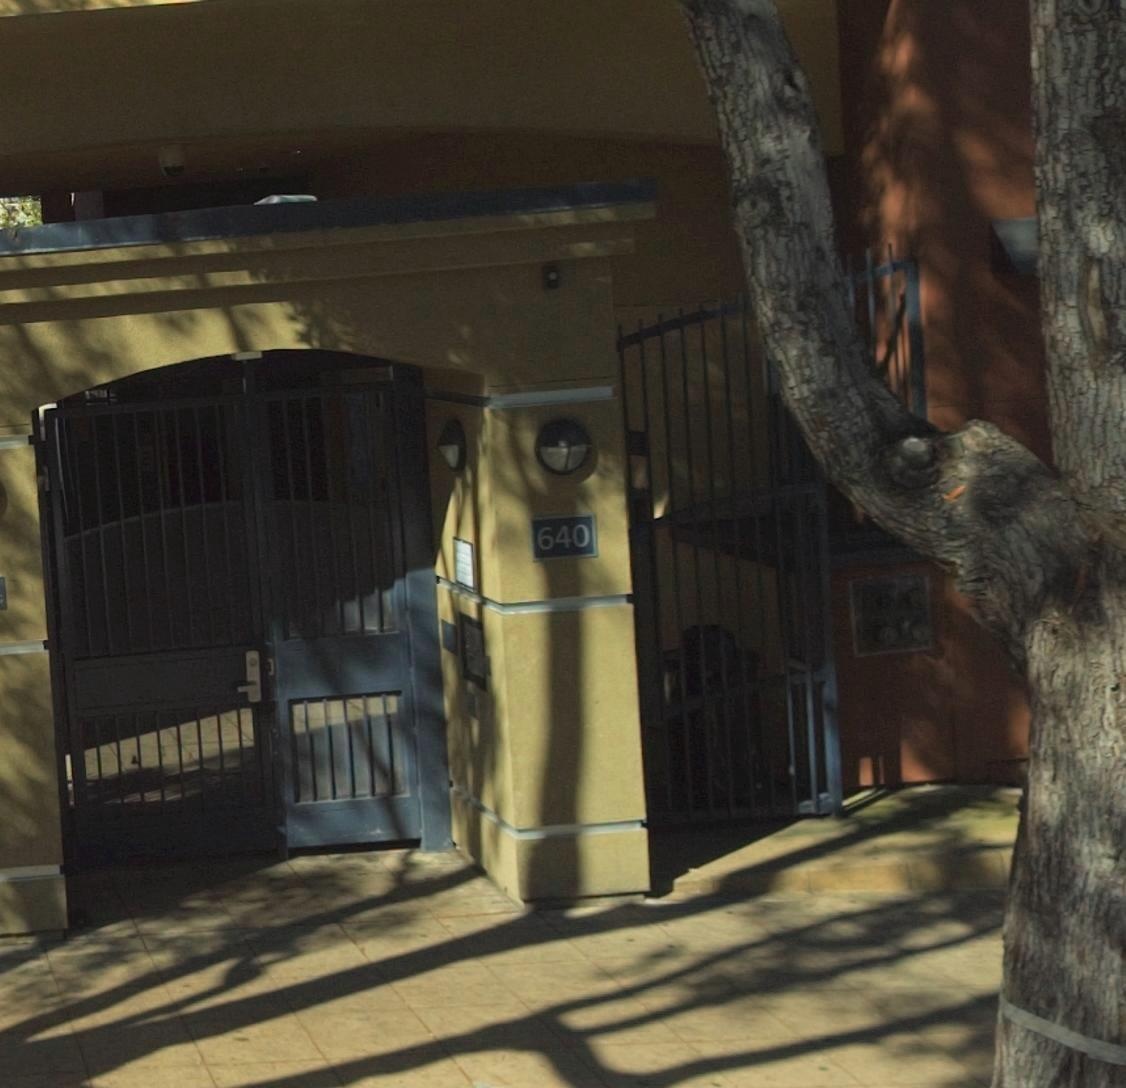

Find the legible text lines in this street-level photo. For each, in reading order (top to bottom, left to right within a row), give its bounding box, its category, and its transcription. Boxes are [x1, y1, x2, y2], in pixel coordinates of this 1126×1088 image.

[534, 523, 593, 552] StreetNumber: 640